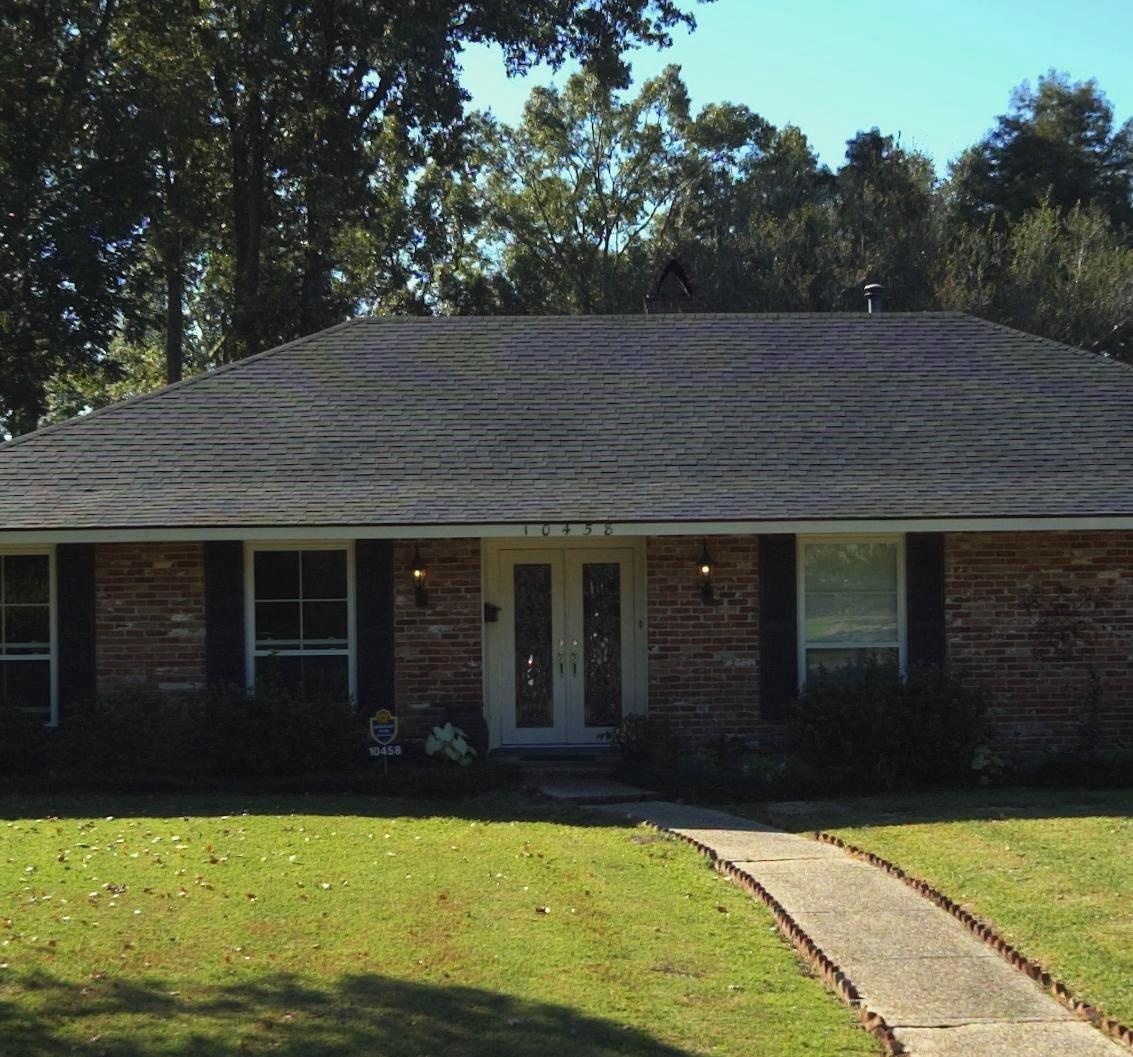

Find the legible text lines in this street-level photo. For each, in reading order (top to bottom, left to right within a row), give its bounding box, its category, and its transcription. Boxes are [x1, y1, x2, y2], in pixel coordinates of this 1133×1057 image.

[523, 520, 614, 537] StreetNumber: 10458
[366, 743, 404, 759] StreetNumber: 10458